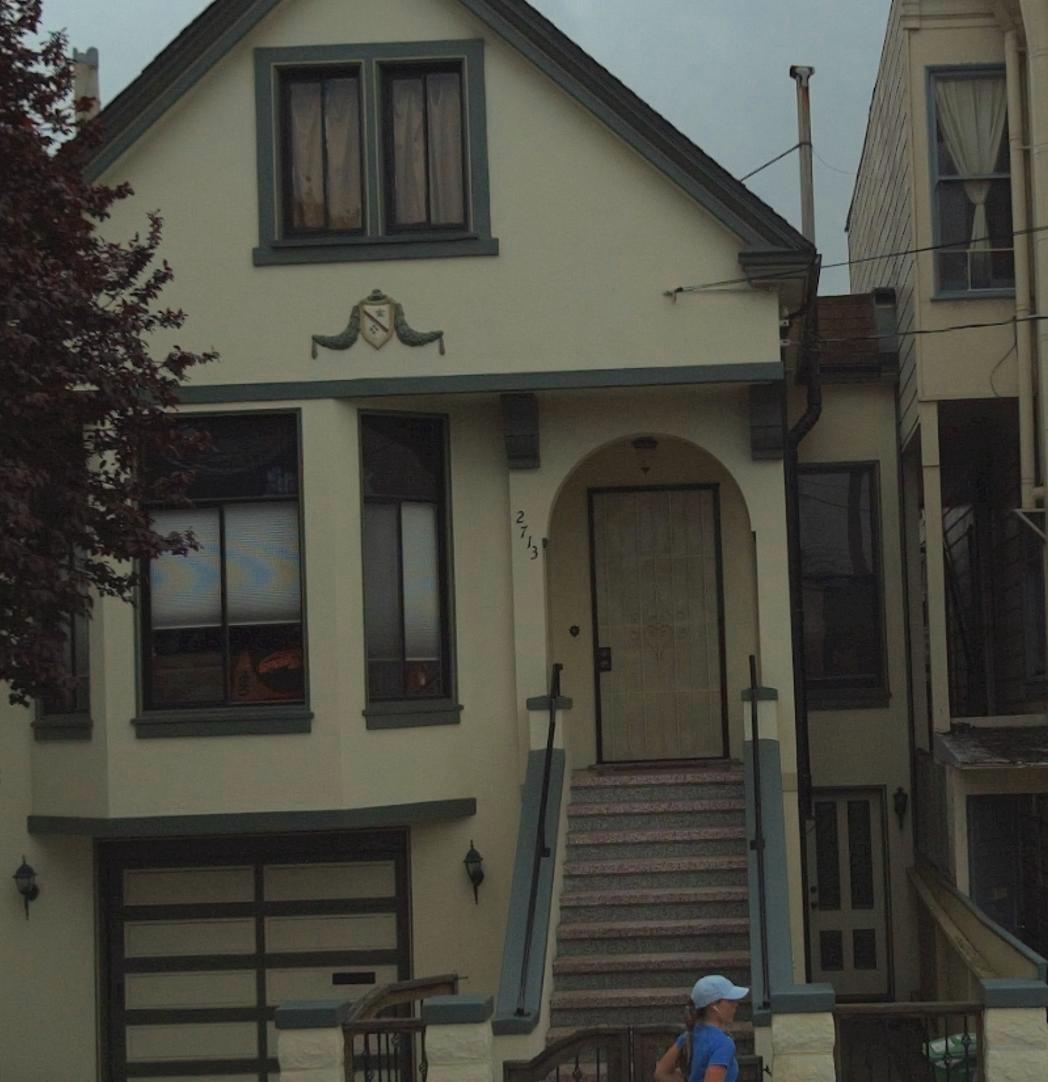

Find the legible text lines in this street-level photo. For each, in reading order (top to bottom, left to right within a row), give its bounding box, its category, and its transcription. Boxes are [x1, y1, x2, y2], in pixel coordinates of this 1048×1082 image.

[515, 510, 539, 561] StreetNumber: 2713